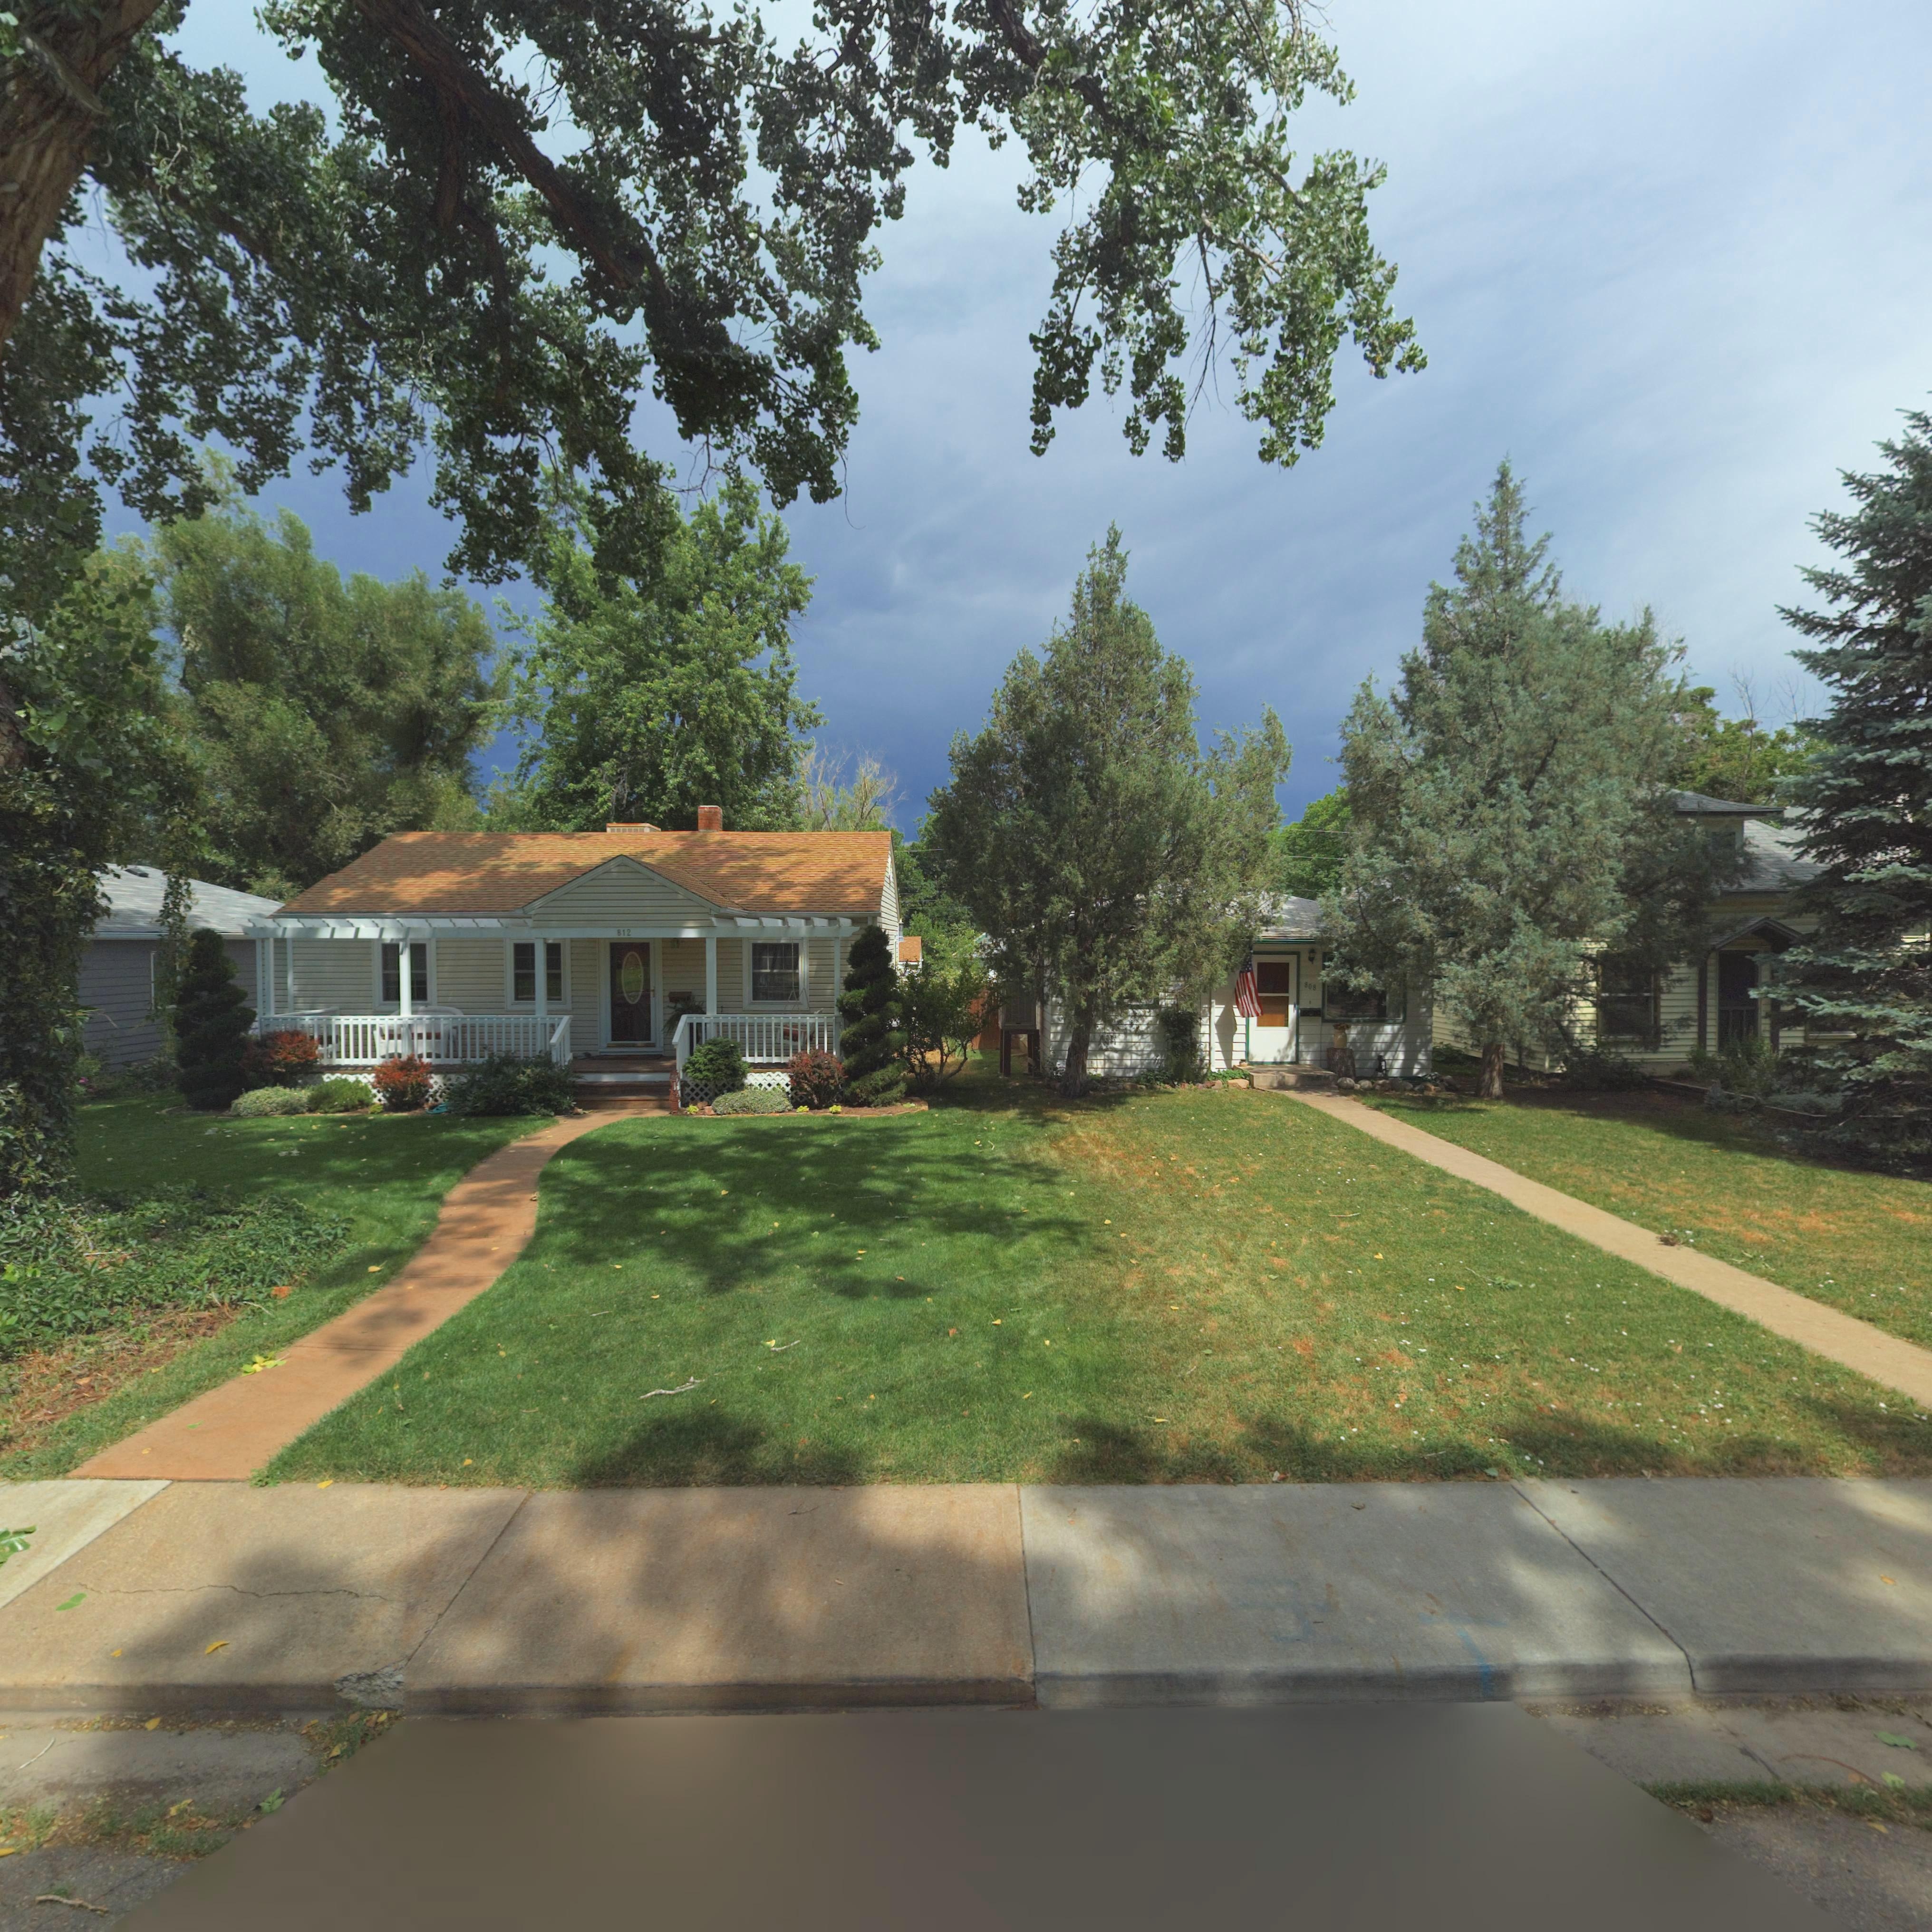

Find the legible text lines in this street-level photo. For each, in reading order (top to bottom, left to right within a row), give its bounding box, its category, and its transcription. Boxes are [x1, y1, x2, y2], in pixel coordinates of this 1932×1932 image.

[616, 928, 631, 937] StreetNumber: 812
[1304, 980, 1317, 991] StreetNumber: 808